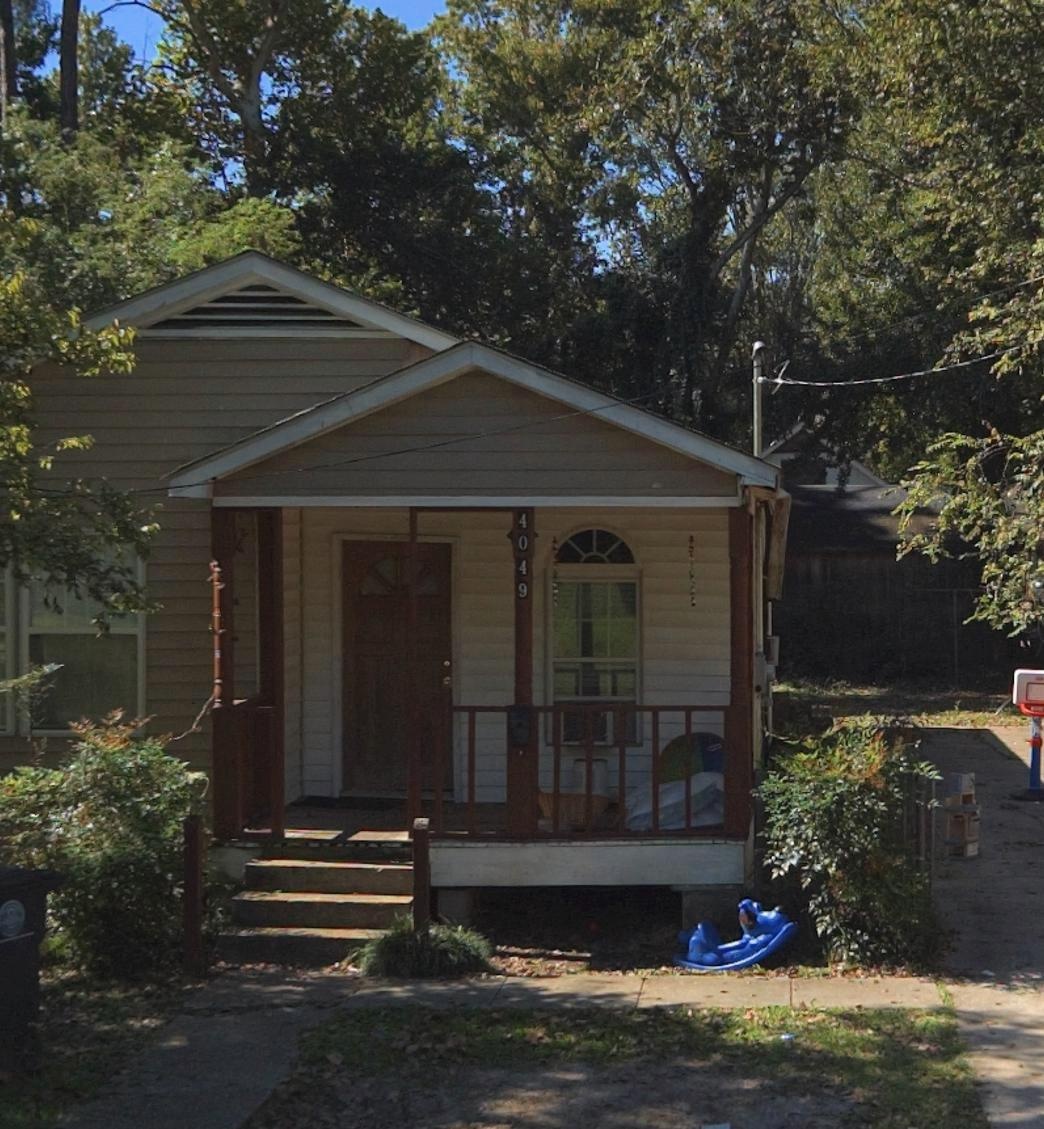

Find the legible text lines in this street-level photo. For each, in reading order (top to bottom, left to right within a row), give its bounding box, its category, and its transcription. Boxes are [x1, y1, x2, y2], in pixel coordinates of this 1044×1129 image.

[517, 512, 529, 600] StreetNumber: 4049